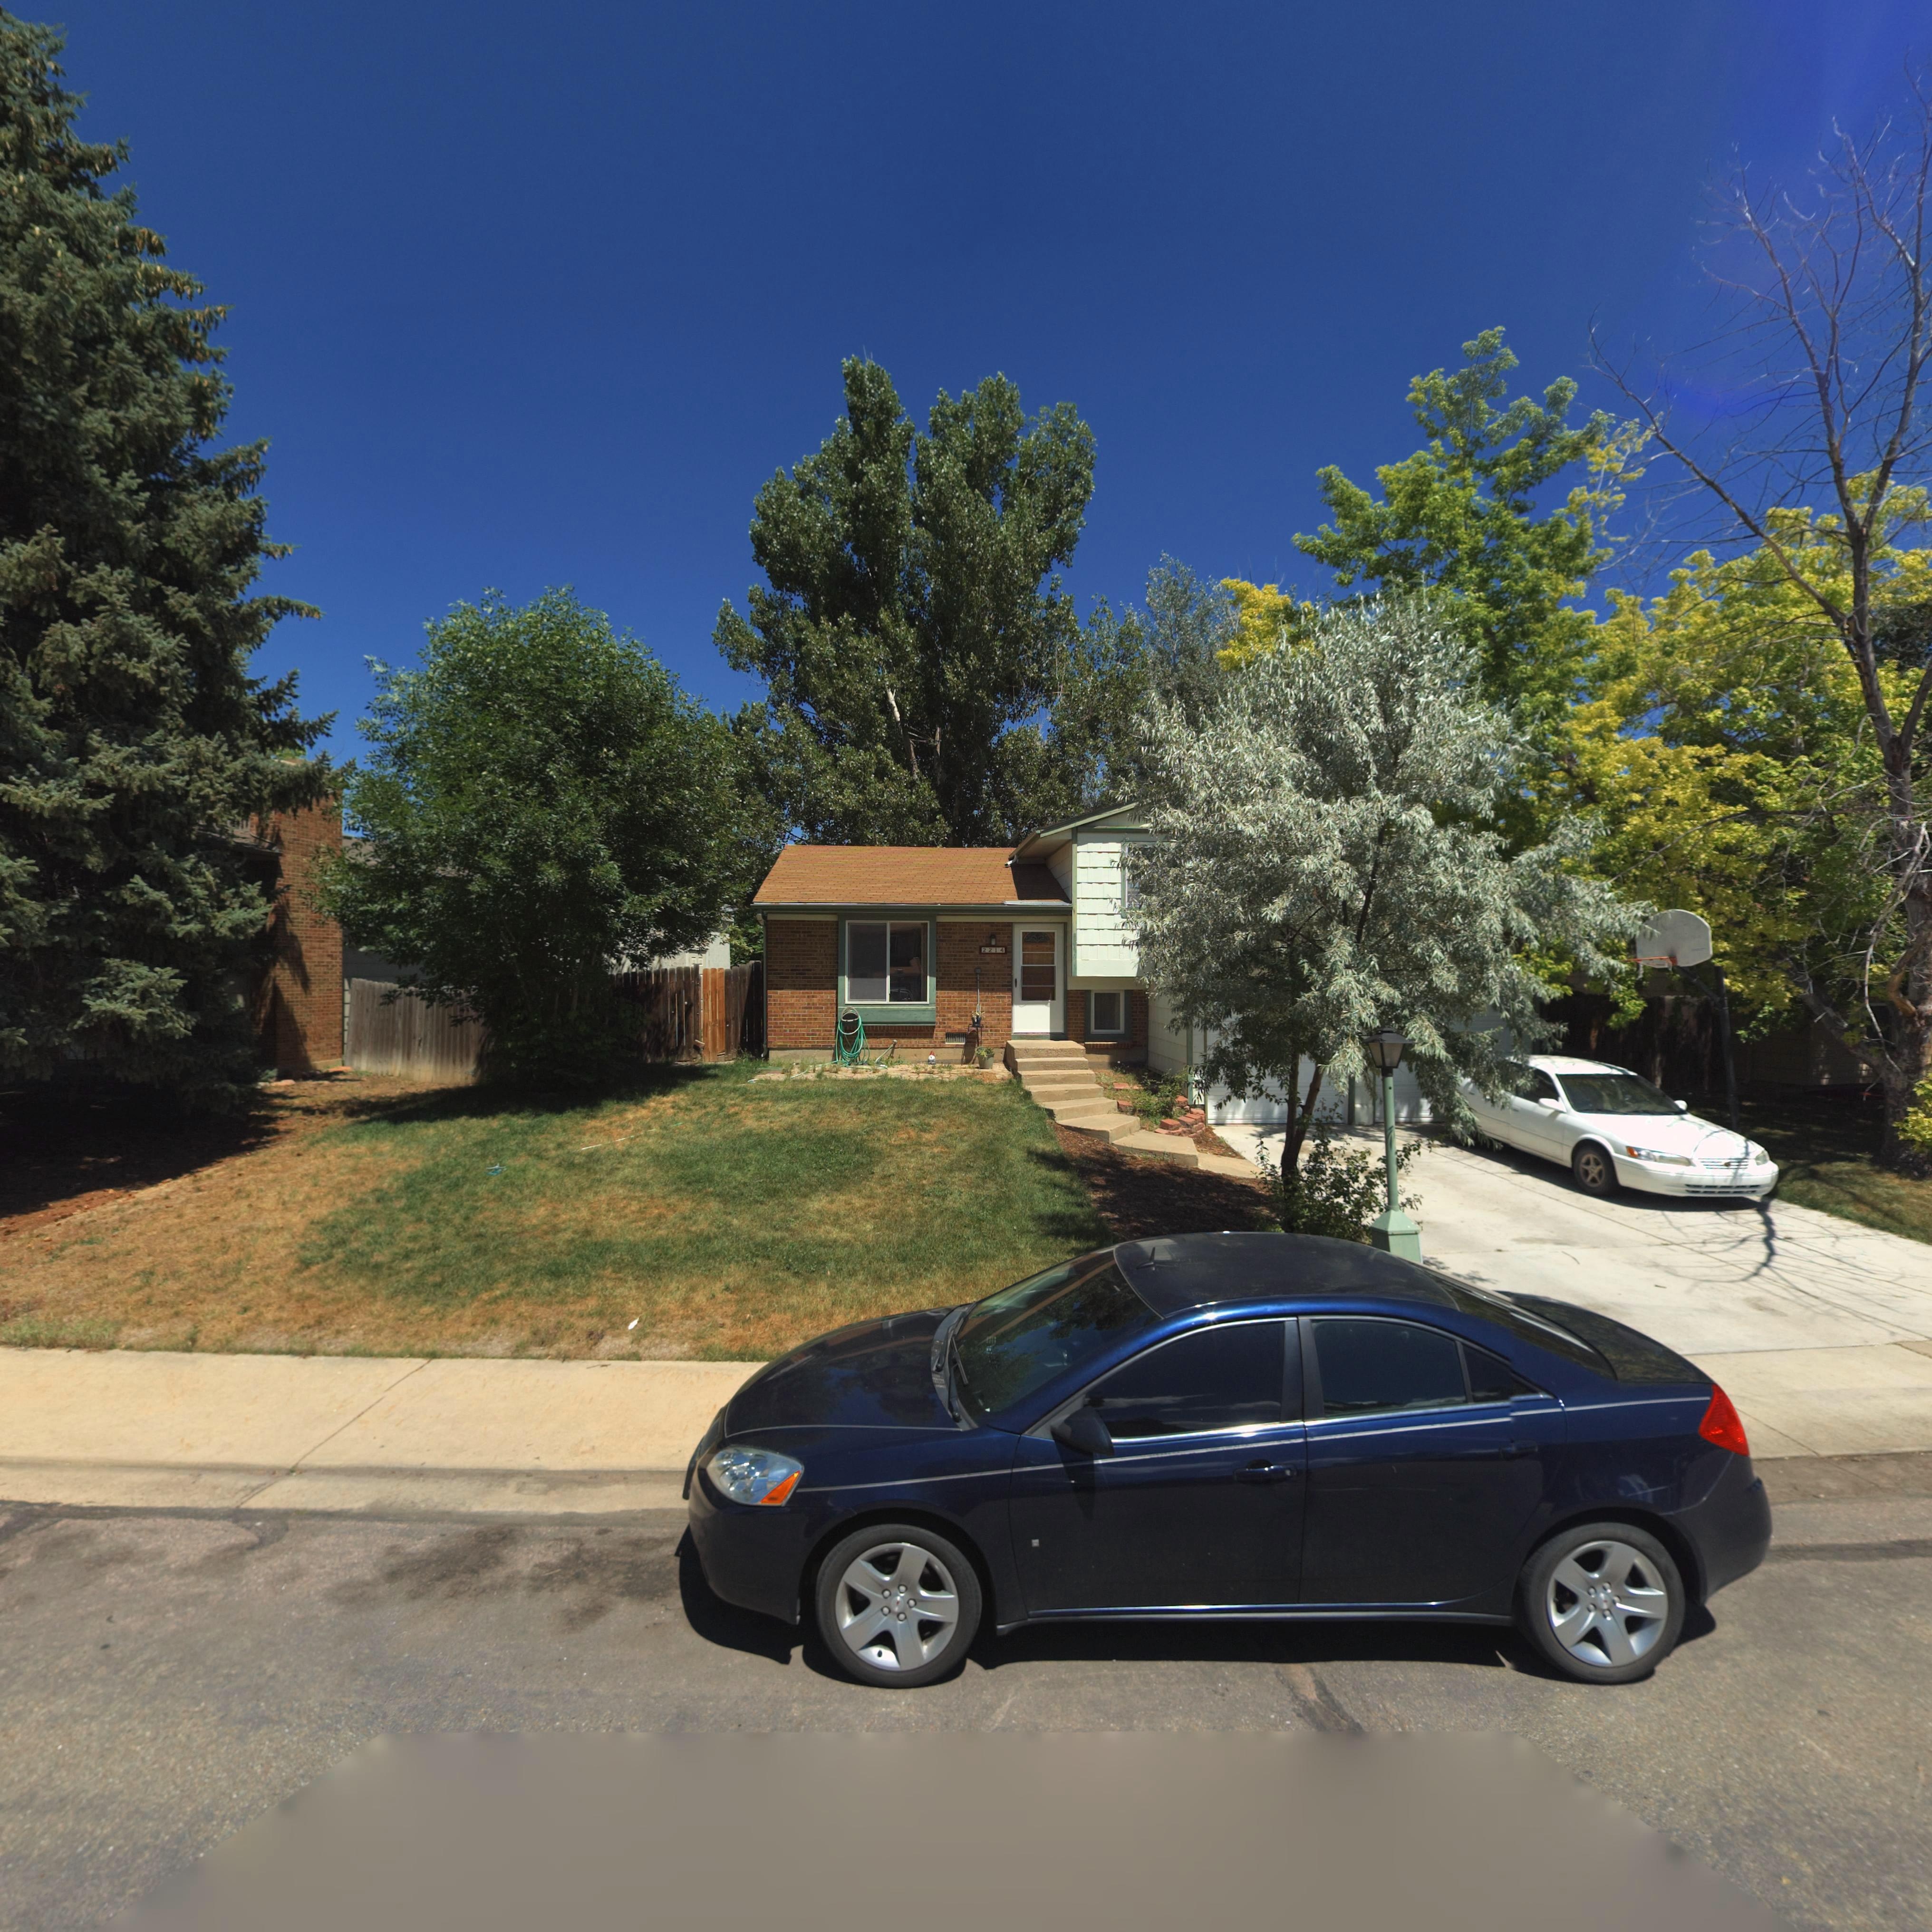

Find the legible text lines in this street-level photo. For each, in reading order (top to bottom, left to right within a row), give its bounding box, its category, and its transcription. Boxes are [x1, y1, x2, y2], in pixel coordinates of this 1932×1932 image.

[982, 947, 1004, 952] StreetNumber: 2214